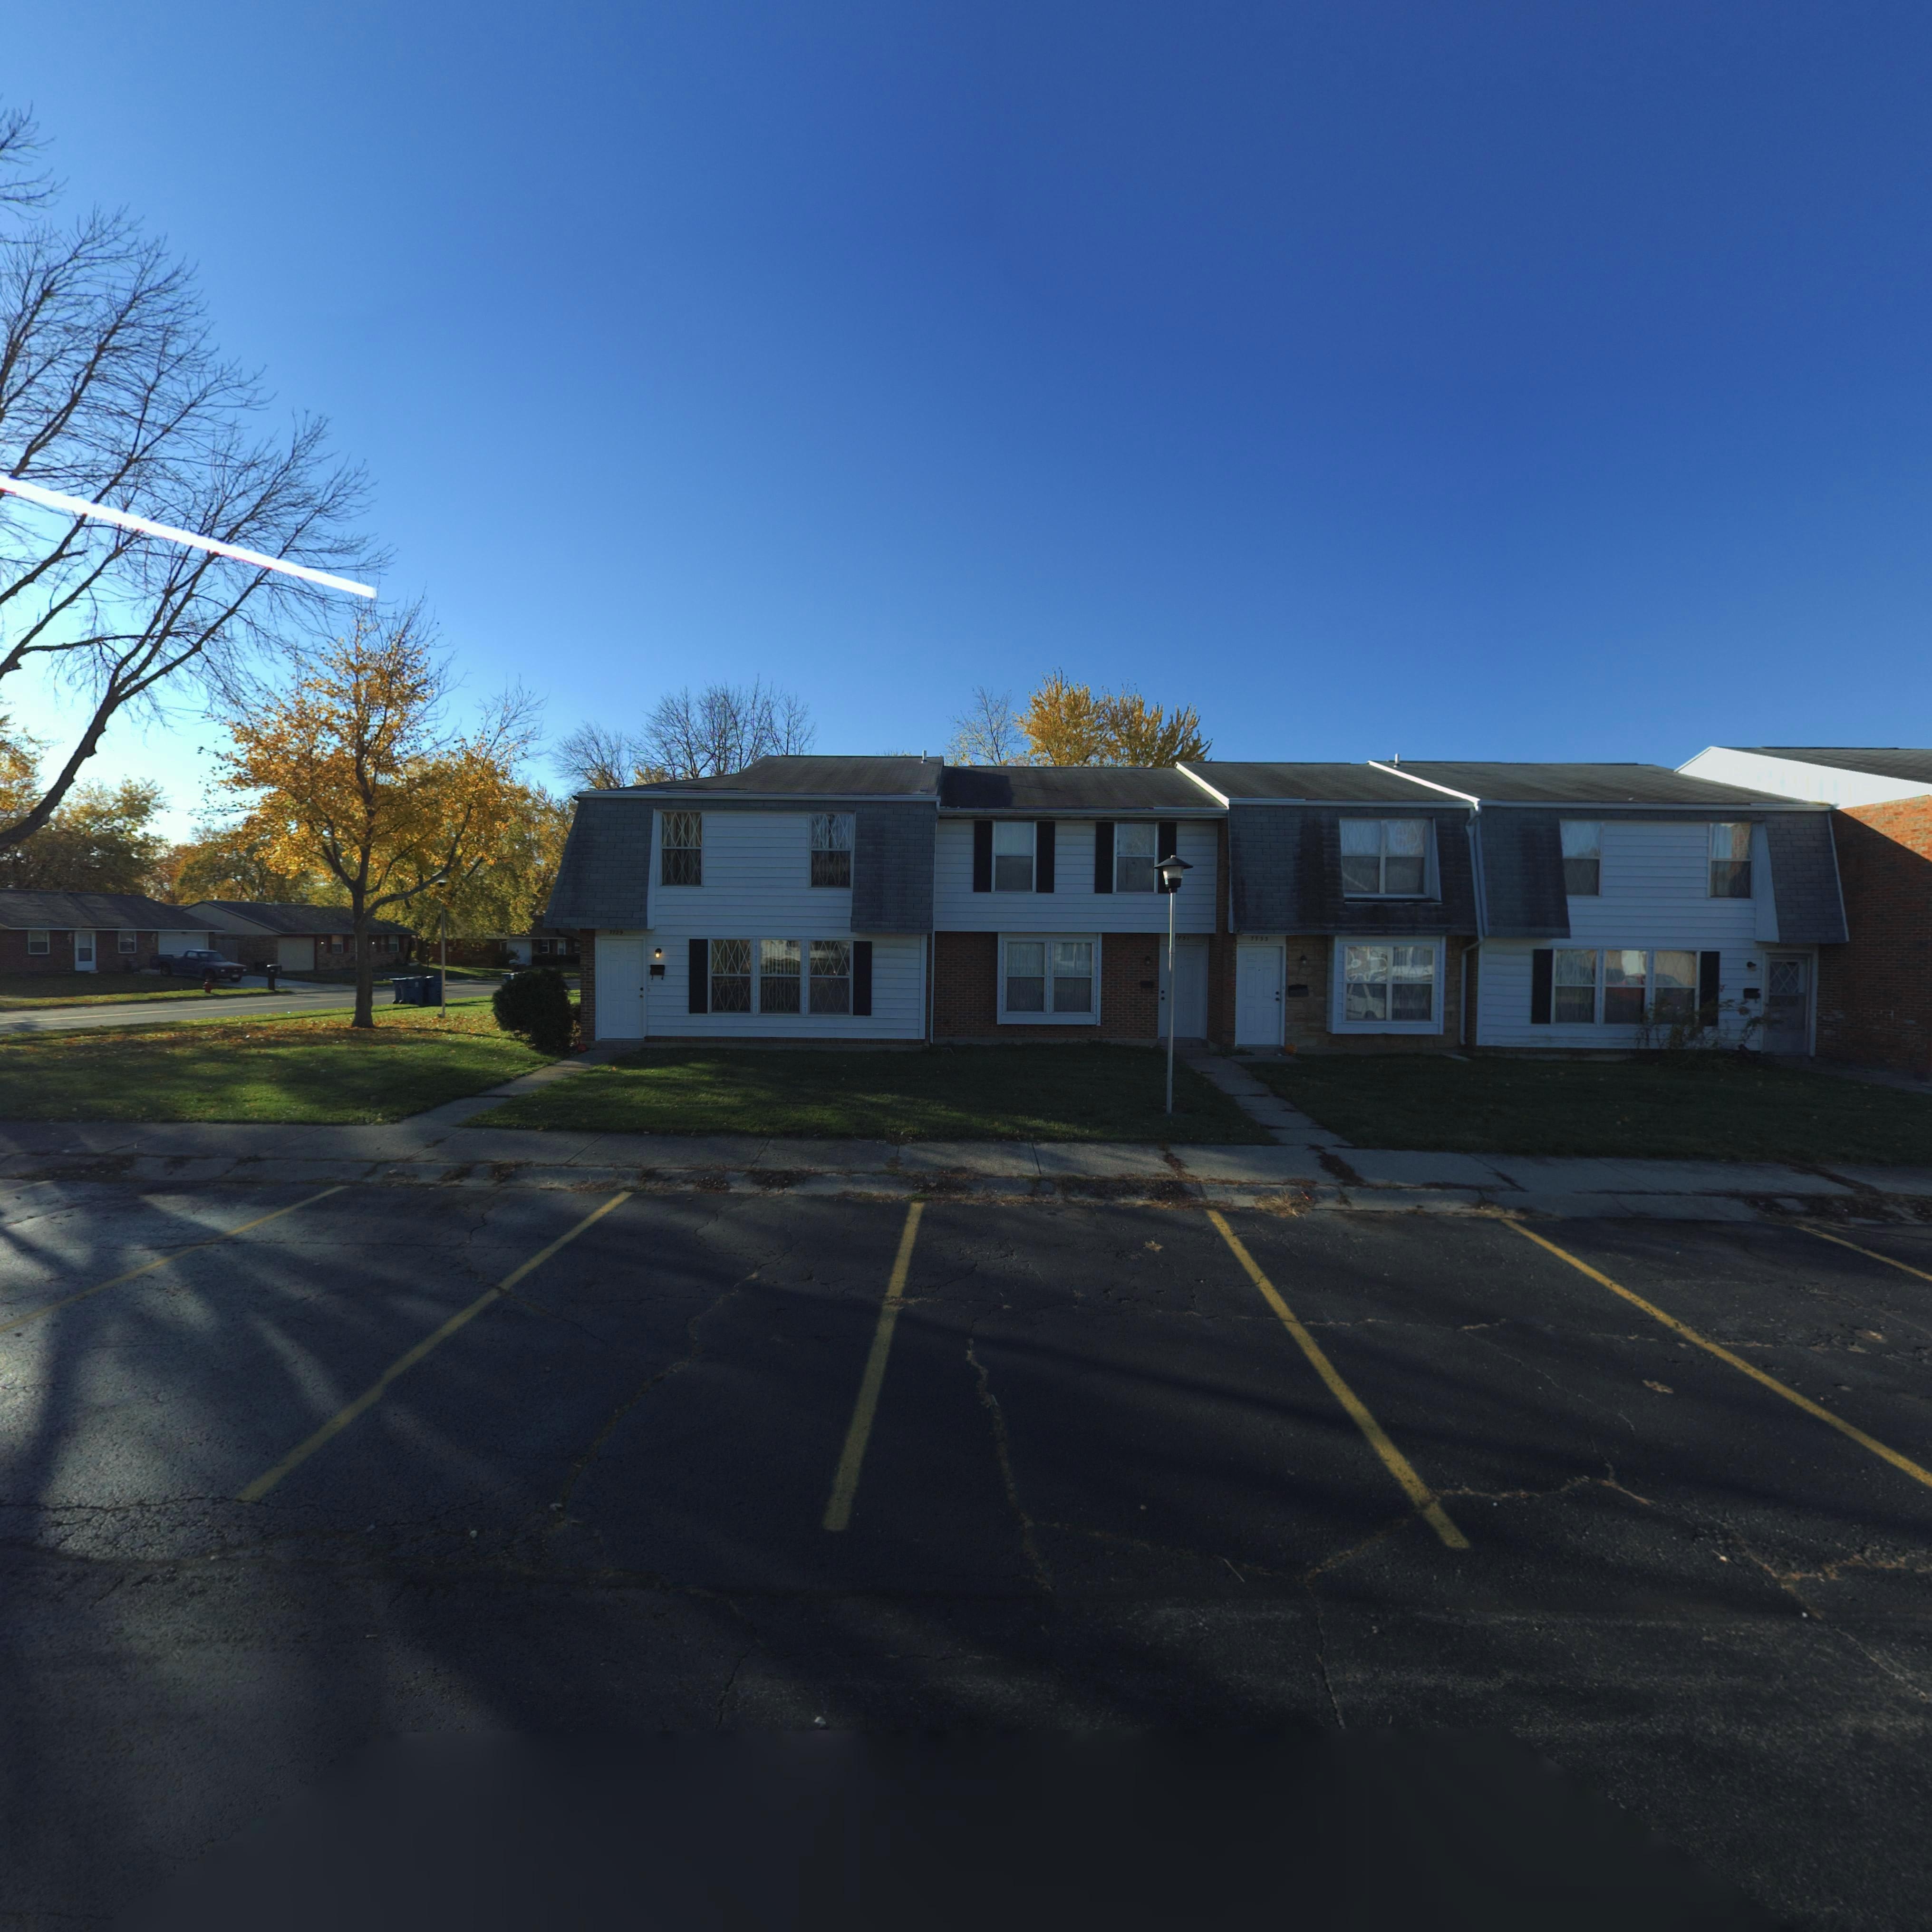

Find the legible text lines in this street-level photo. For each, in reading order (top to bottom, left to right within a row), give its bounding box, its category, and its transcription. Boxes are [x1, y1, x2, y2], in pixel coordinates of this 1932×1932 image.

[608, 929, 624, 936] StreetNumber: 7729
[1178, 935, 1189, 941] StreetNumber: 731
[1250, 935, 1268, 942] StreetNumber: 7733